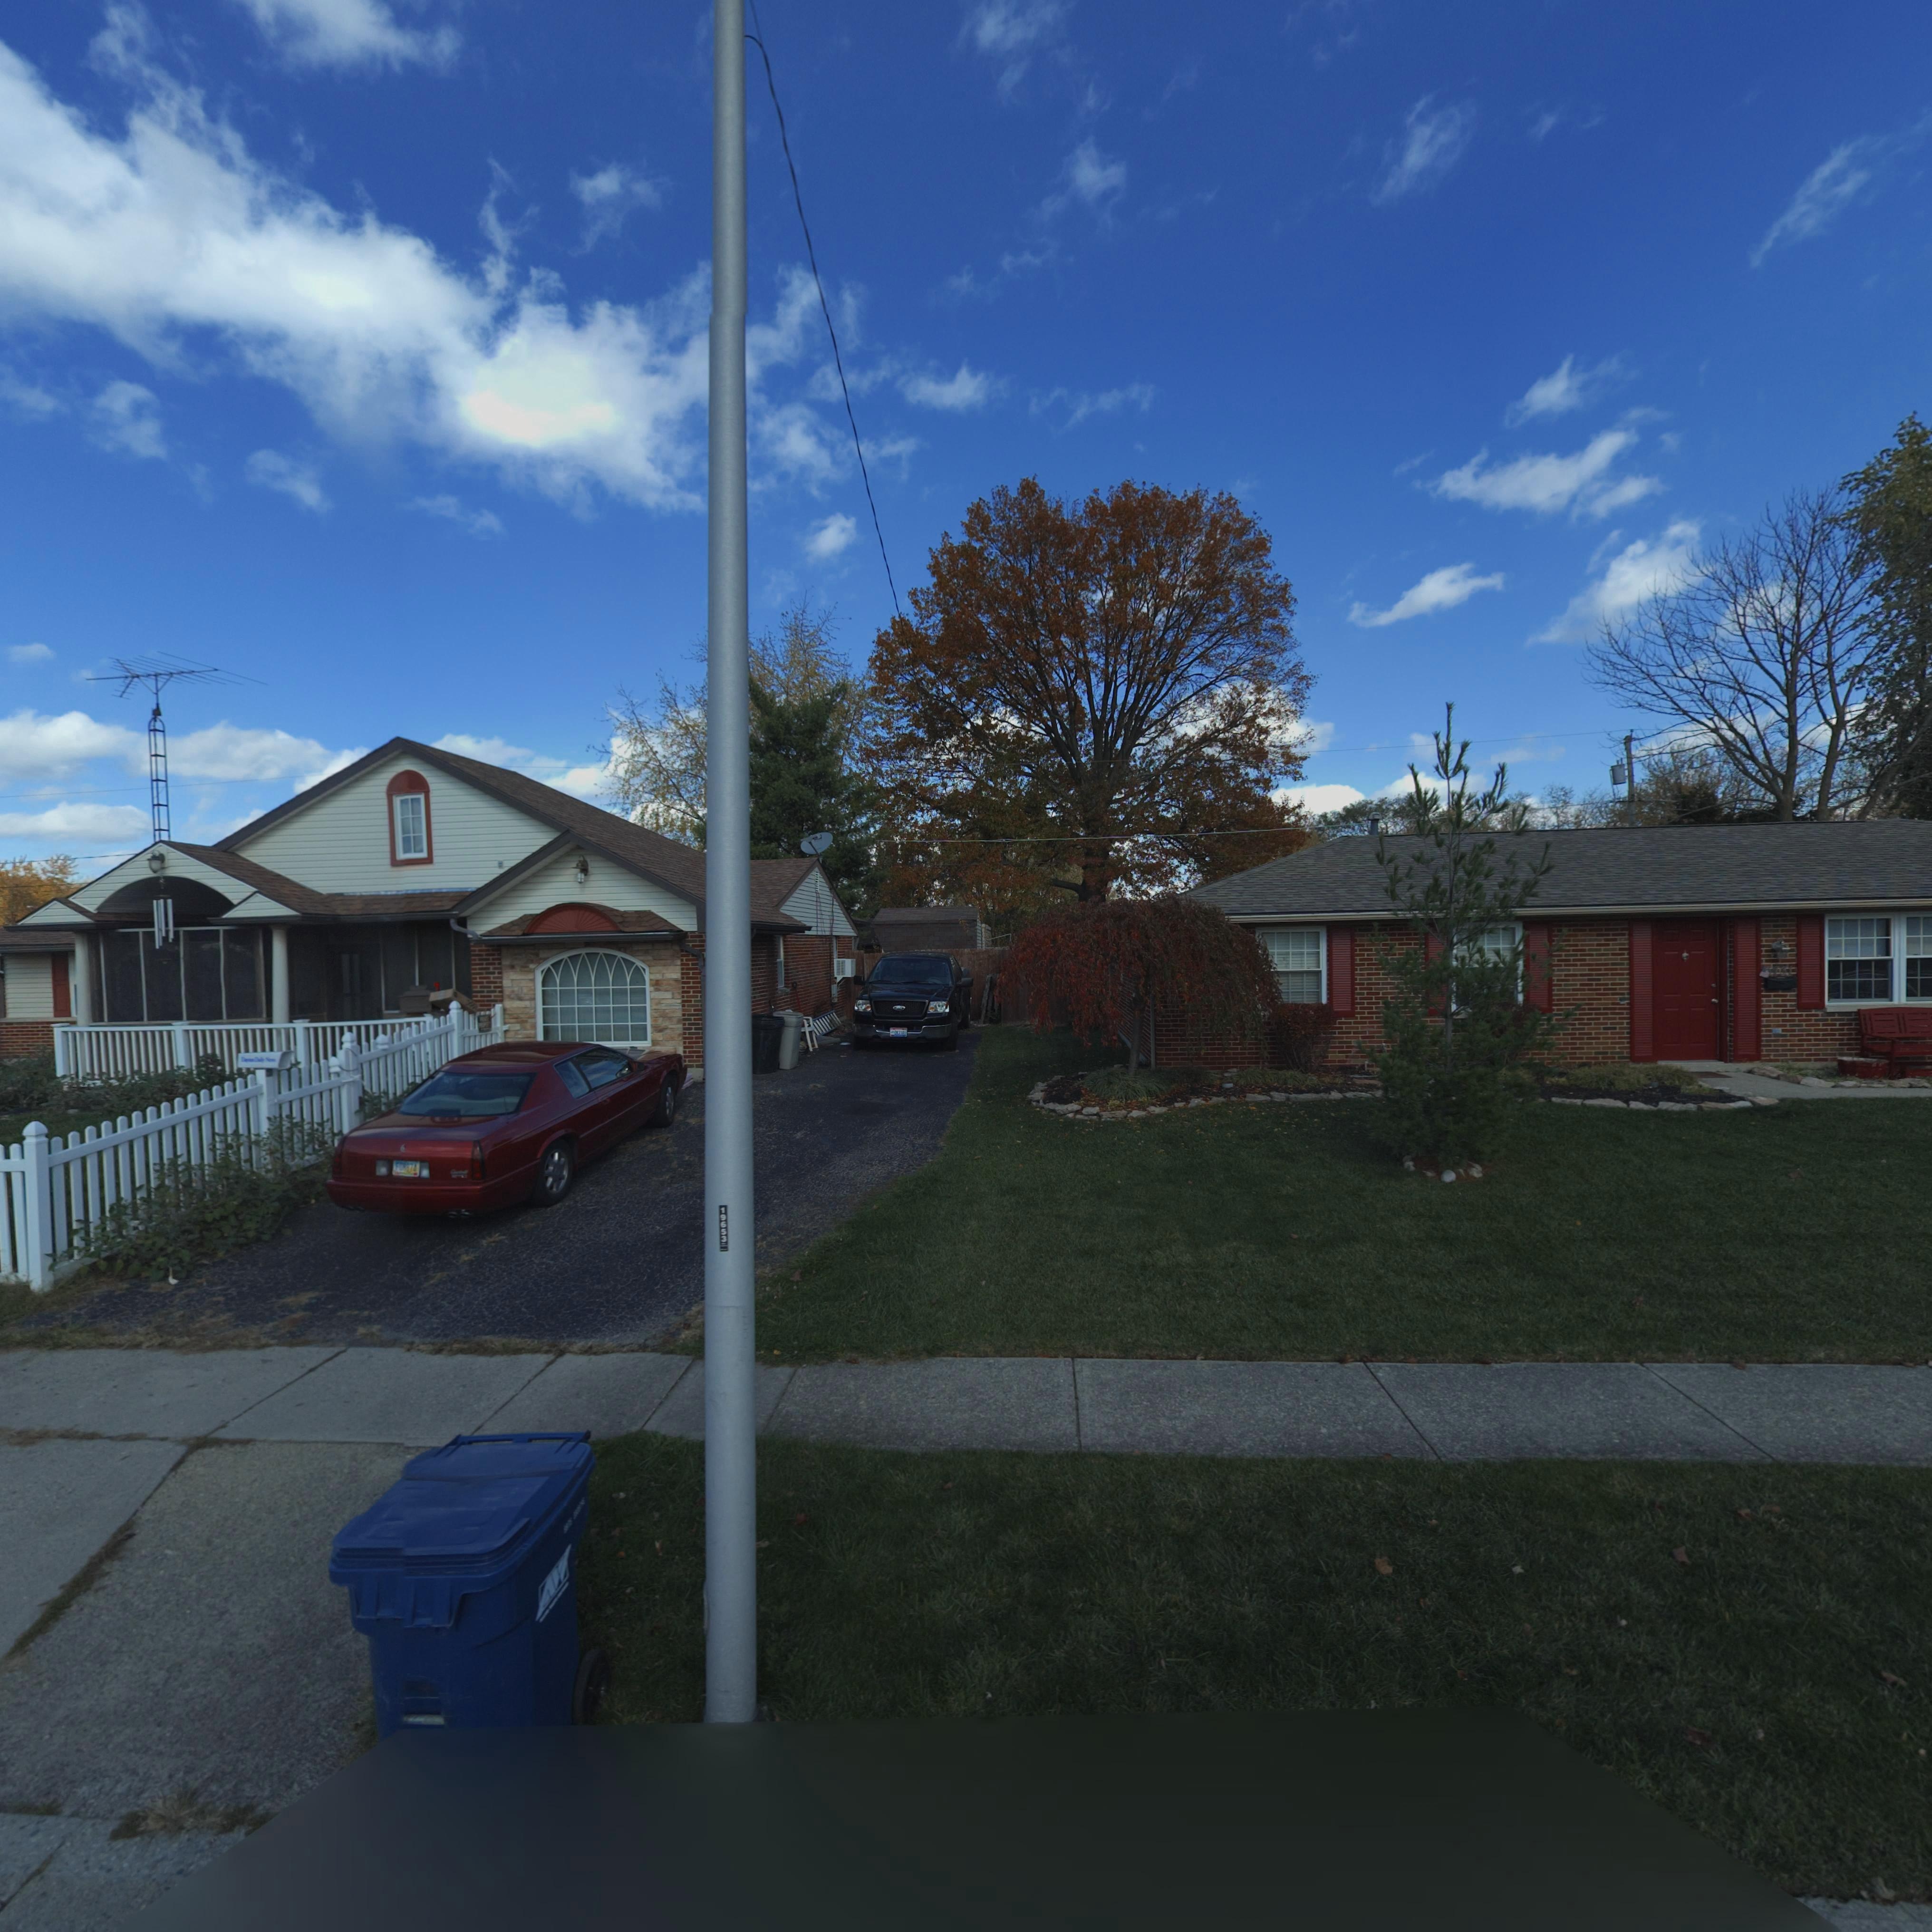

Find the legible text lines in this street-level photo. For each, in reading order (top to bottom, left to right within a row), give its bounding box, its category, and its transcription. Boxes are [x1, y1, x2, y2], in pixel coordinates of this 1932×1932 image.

[1772, 965, 1794, 977] StreetNumber: 731